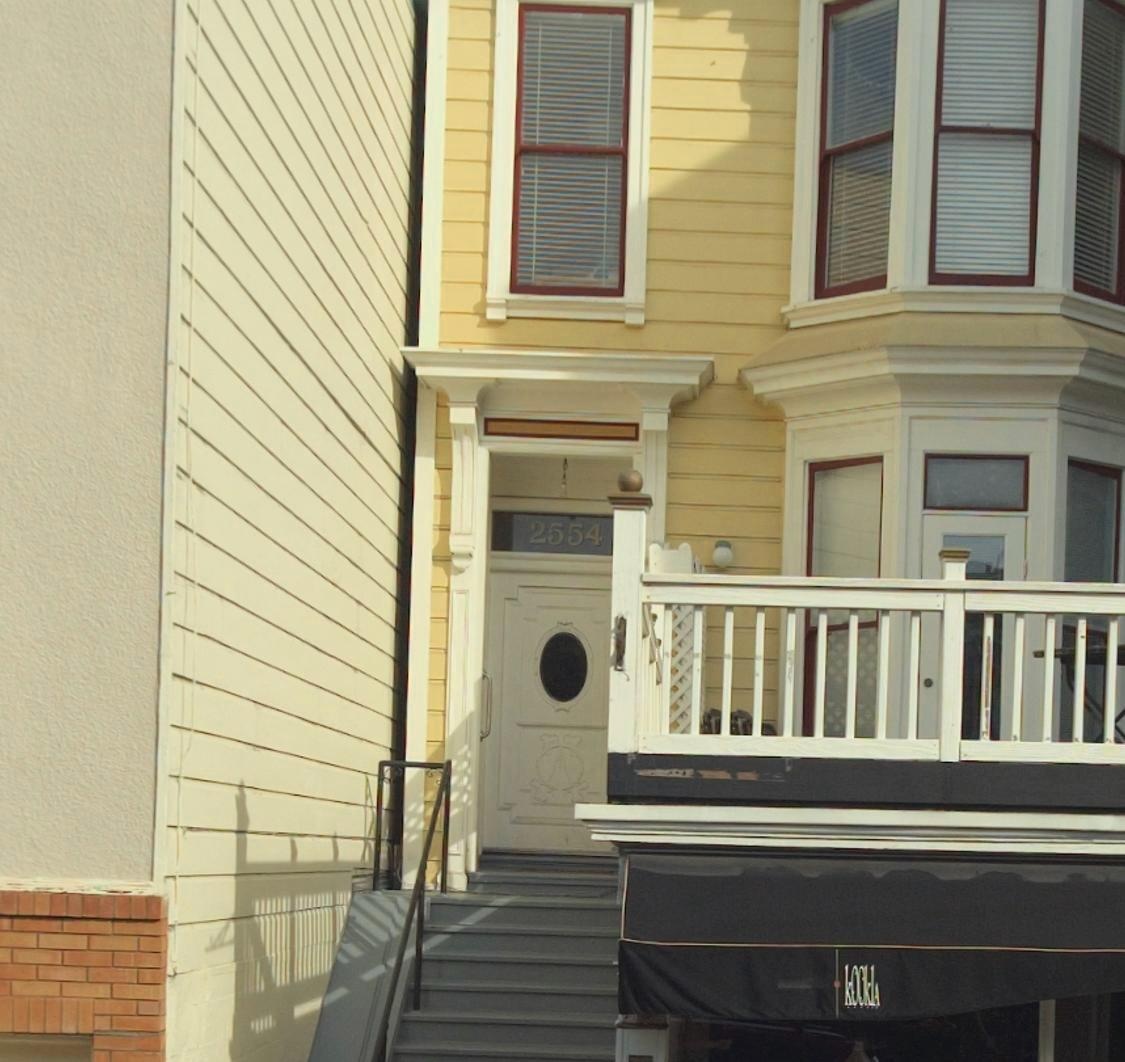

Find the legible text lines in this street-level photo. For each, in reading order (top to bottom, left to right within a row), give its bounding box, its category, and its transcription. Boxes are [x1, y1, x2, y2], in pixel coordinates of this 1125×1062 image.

[527, 517, 605, 550] StreetNumber: 2554